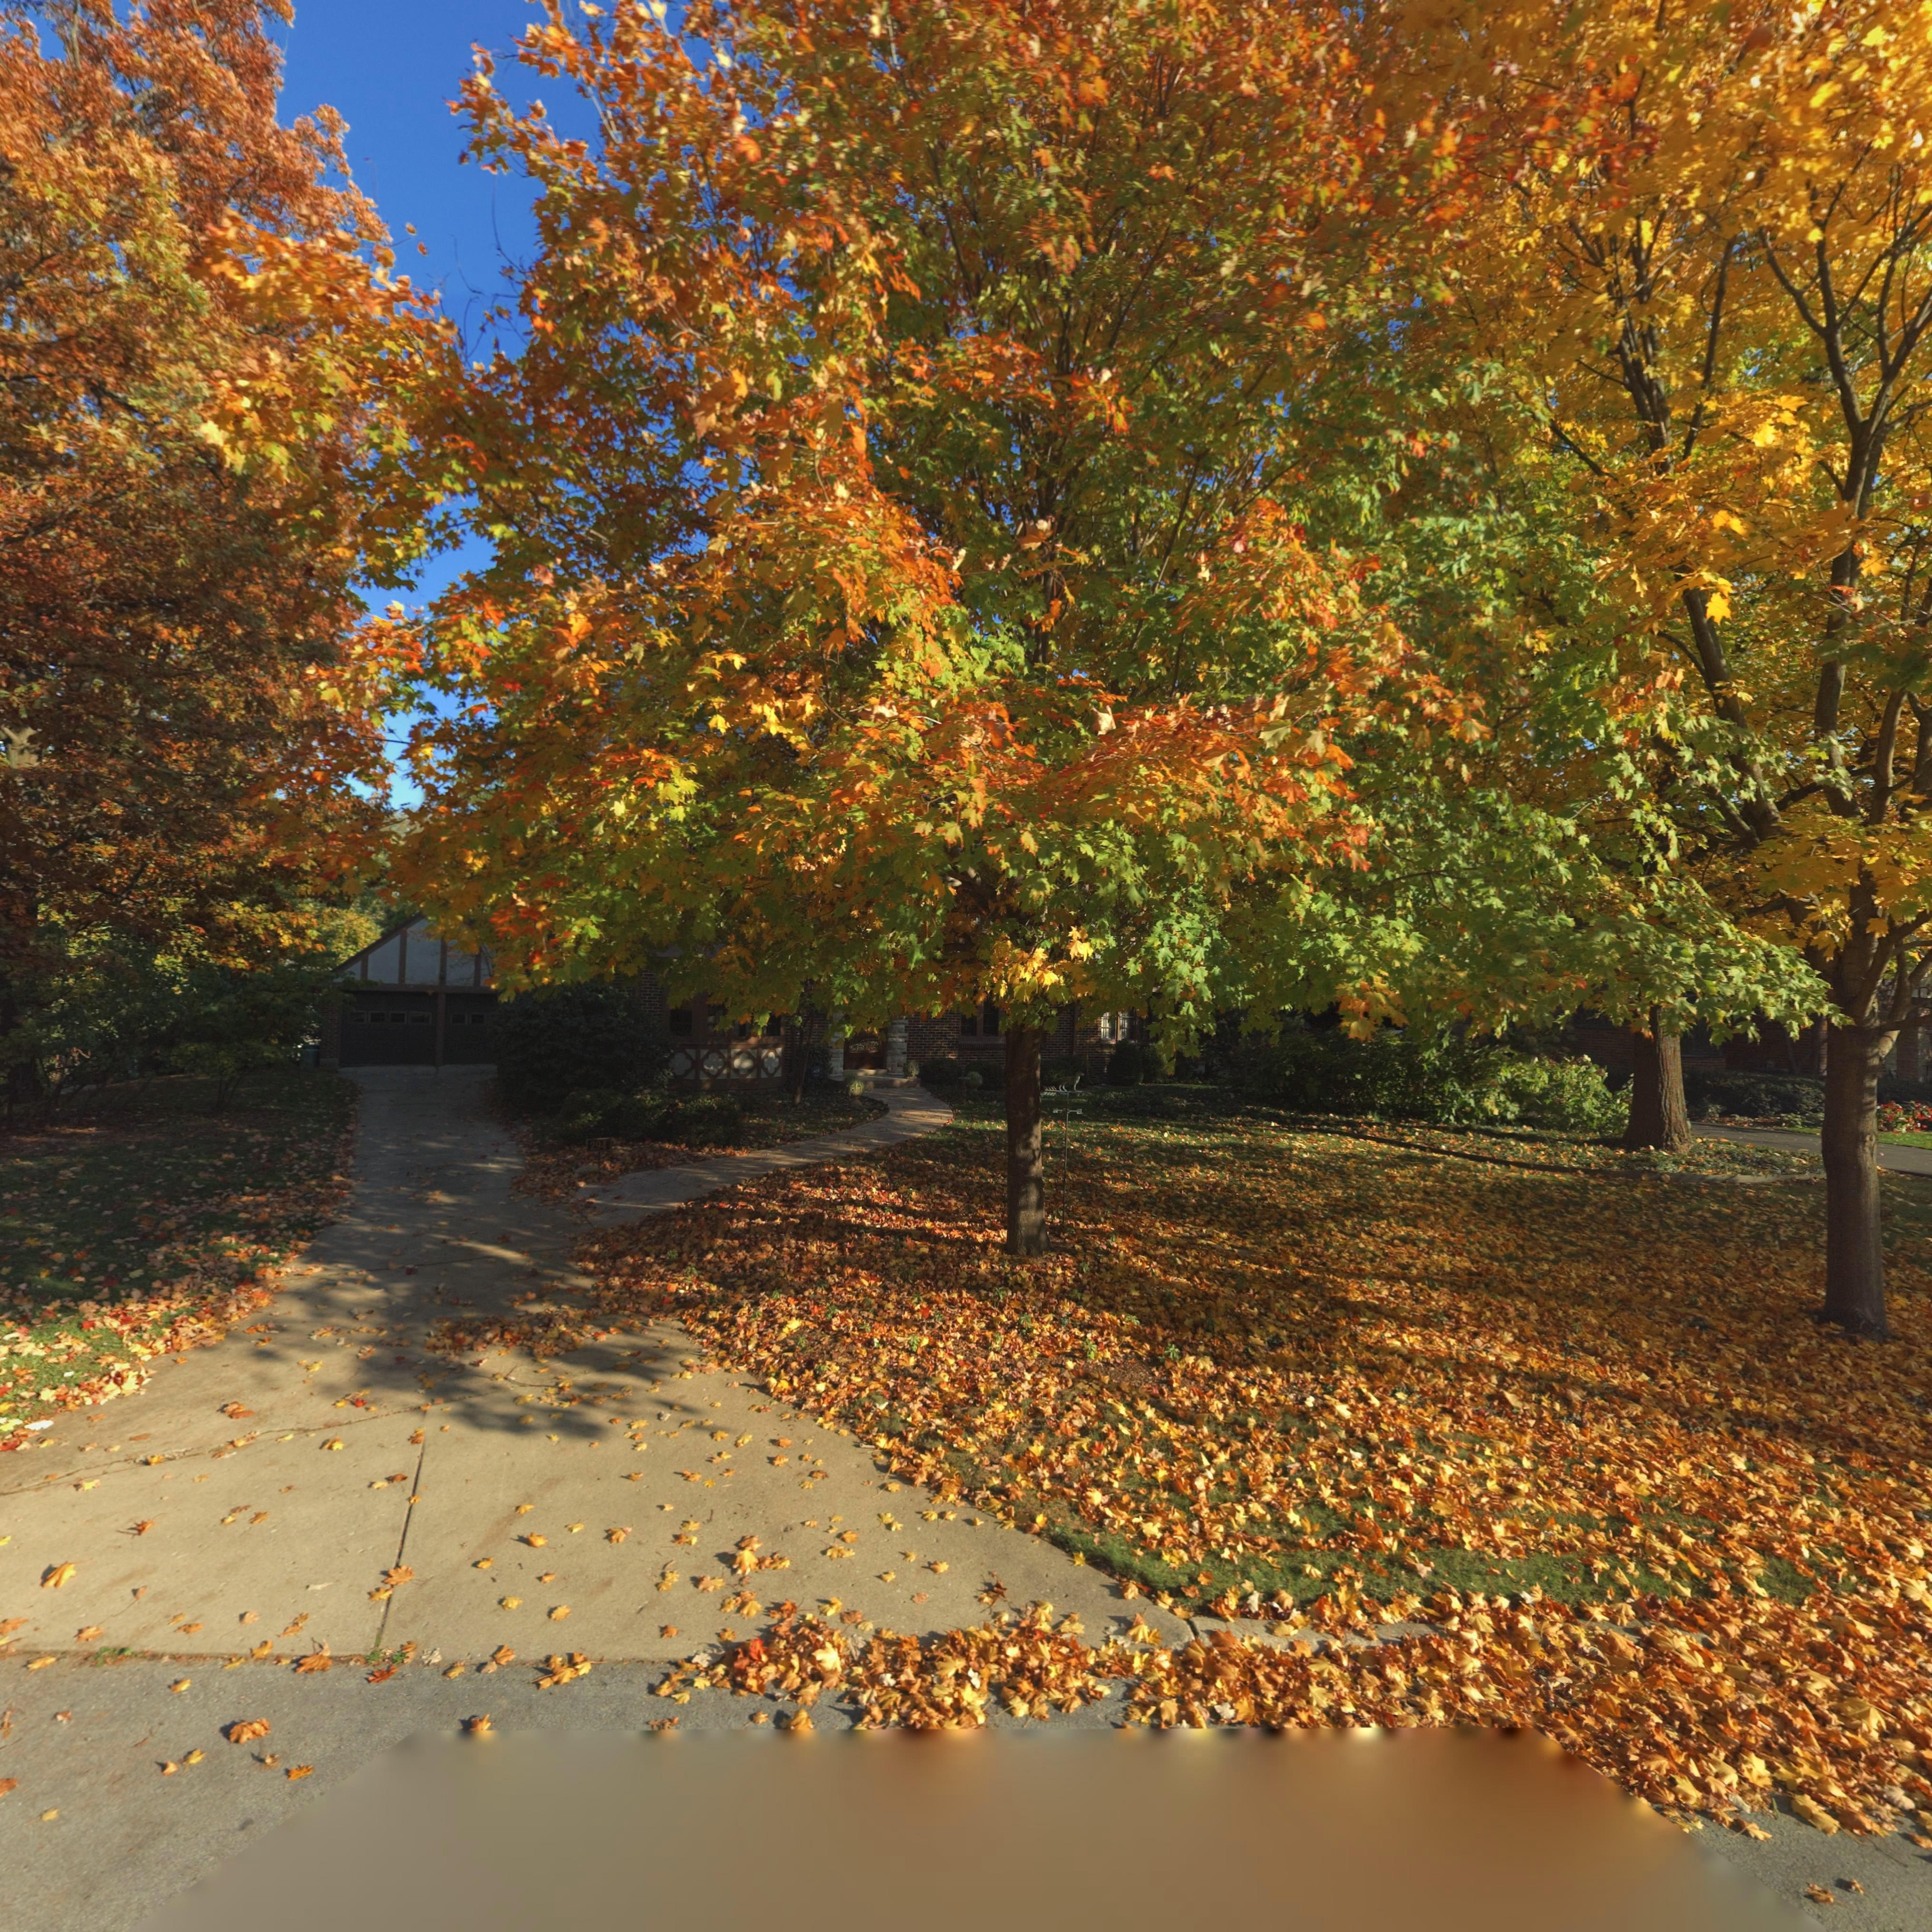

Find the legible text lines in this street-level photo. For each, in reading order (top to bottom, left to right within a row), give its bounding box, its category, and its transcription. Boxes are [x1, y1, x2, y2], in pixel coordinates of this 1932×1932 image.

[588, 1139, 609, 1152] StreetNumber: 294